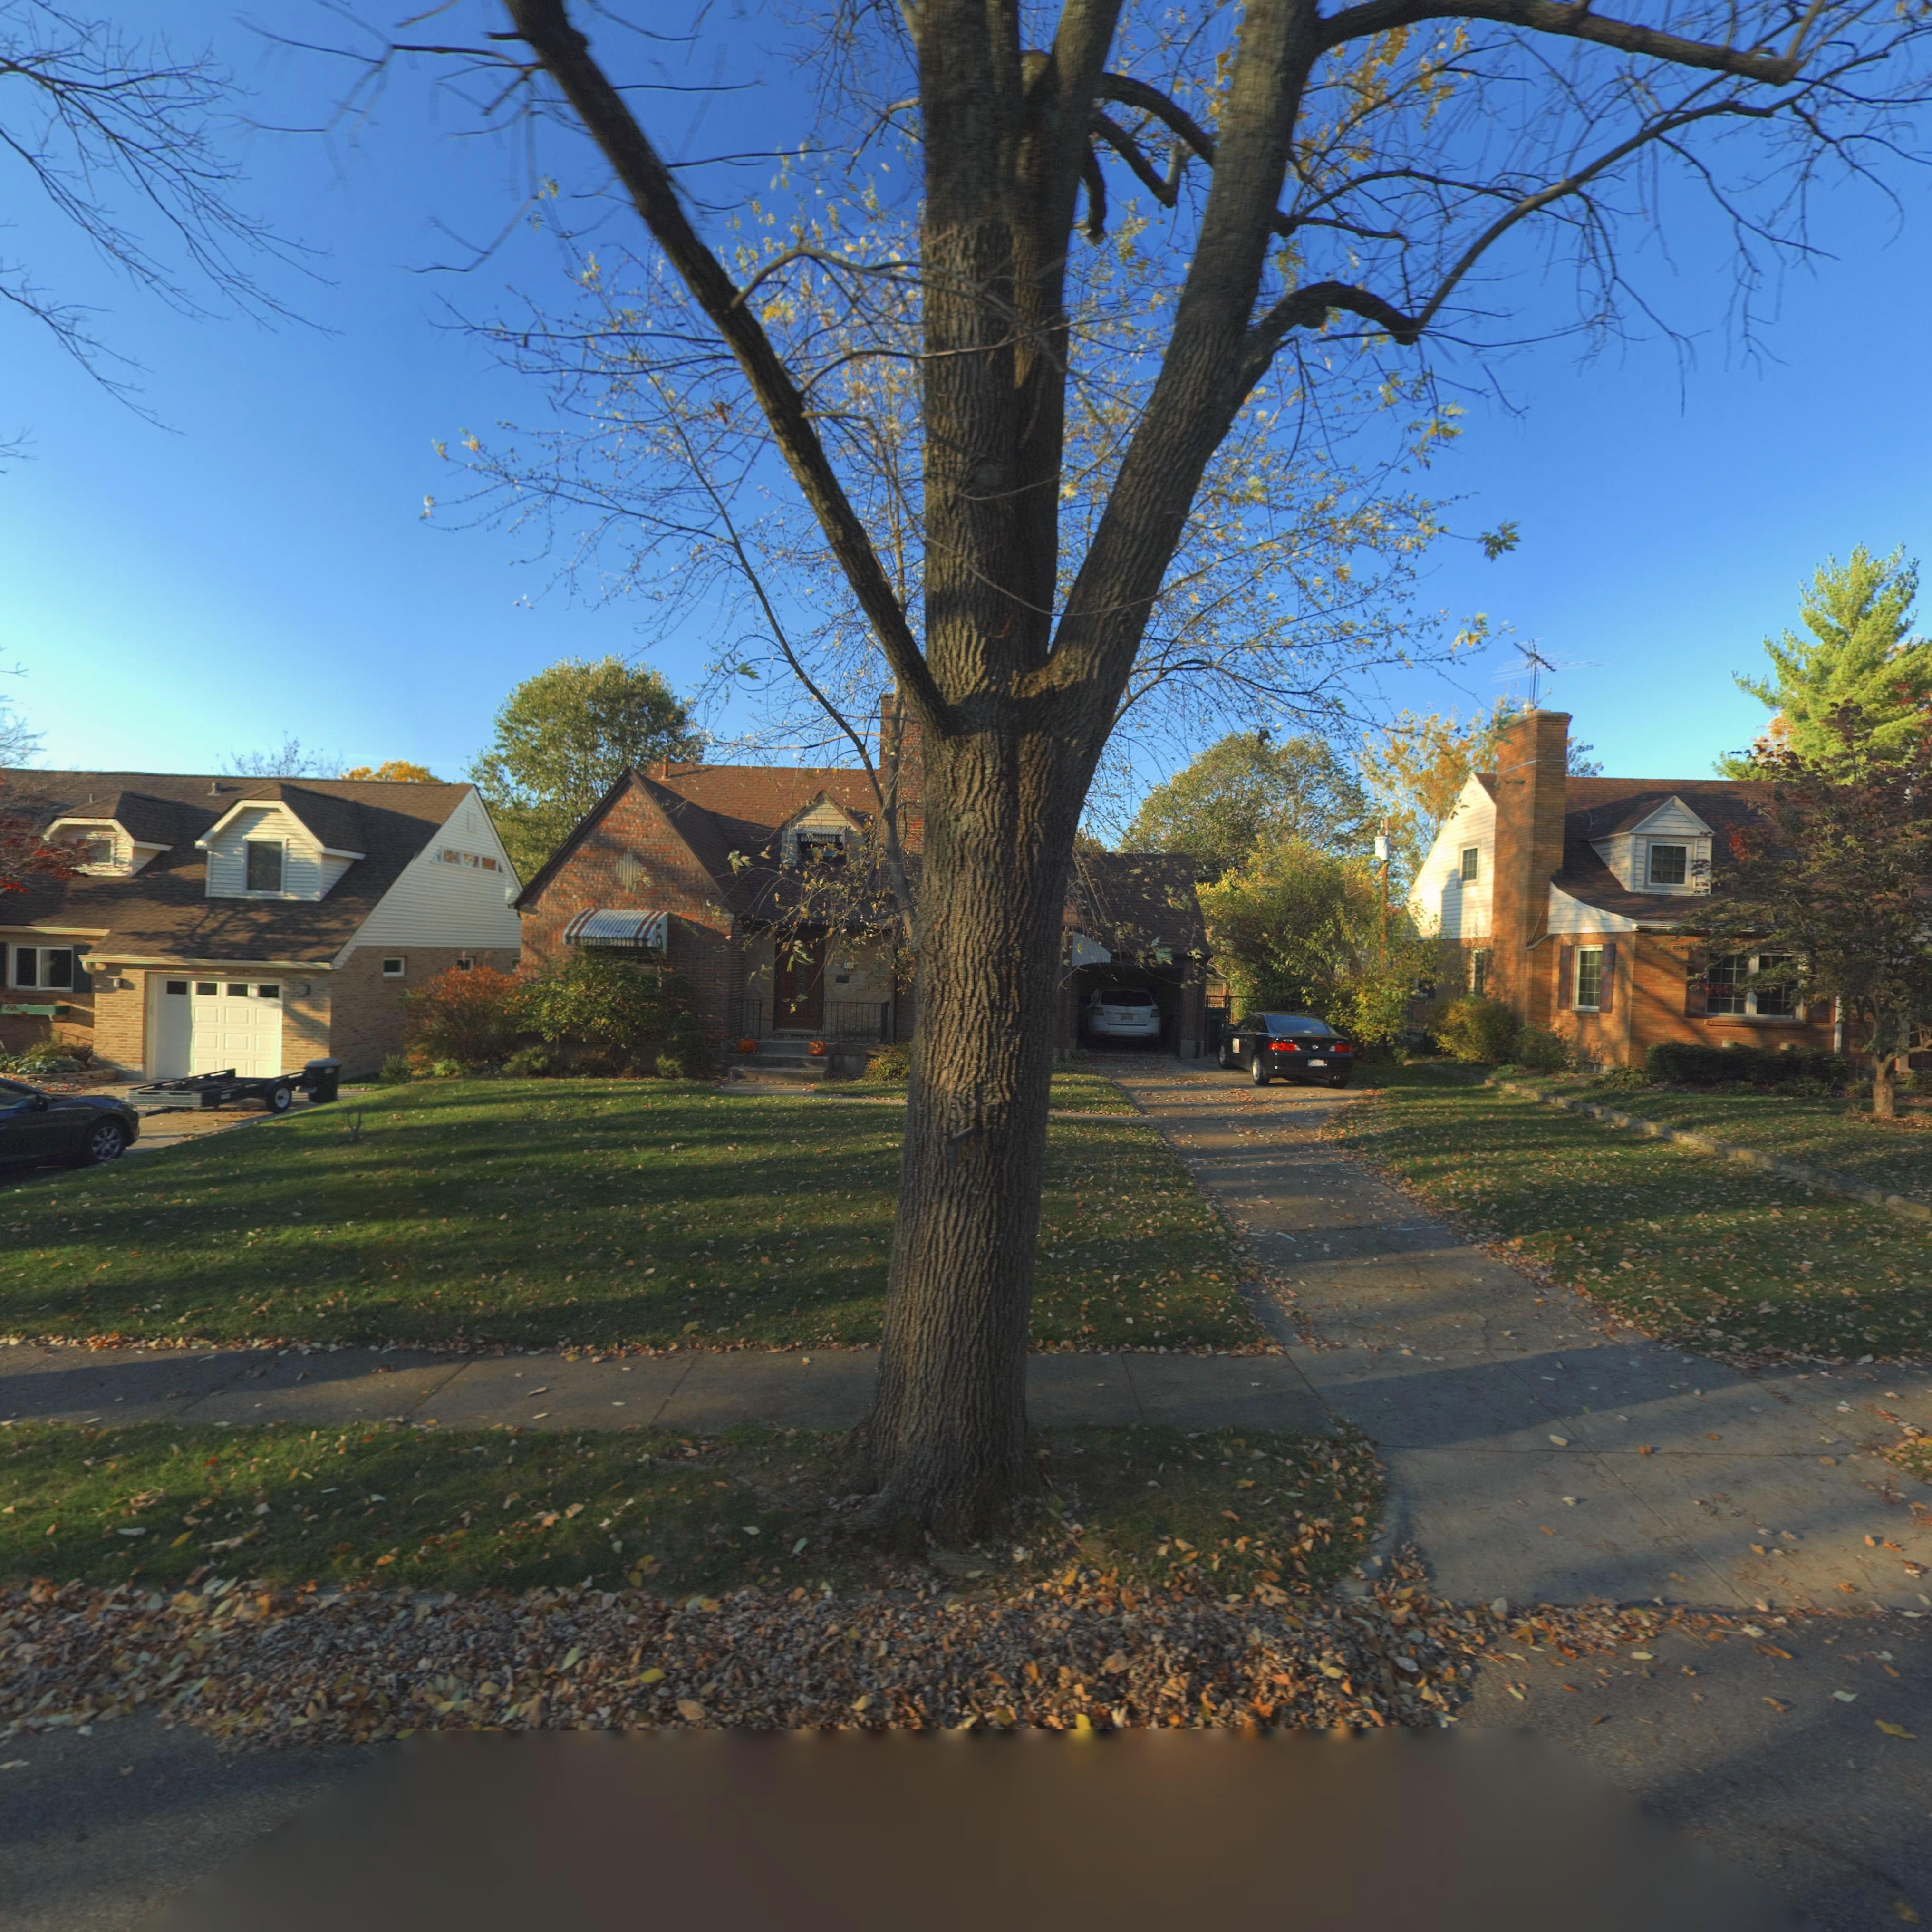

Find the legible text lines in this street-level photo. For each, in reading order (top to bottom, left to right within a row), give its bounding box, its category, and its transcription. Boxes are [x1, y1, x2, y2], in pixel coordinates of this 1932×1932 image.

[845, 963, 853, 968] StreetNumber: 1**